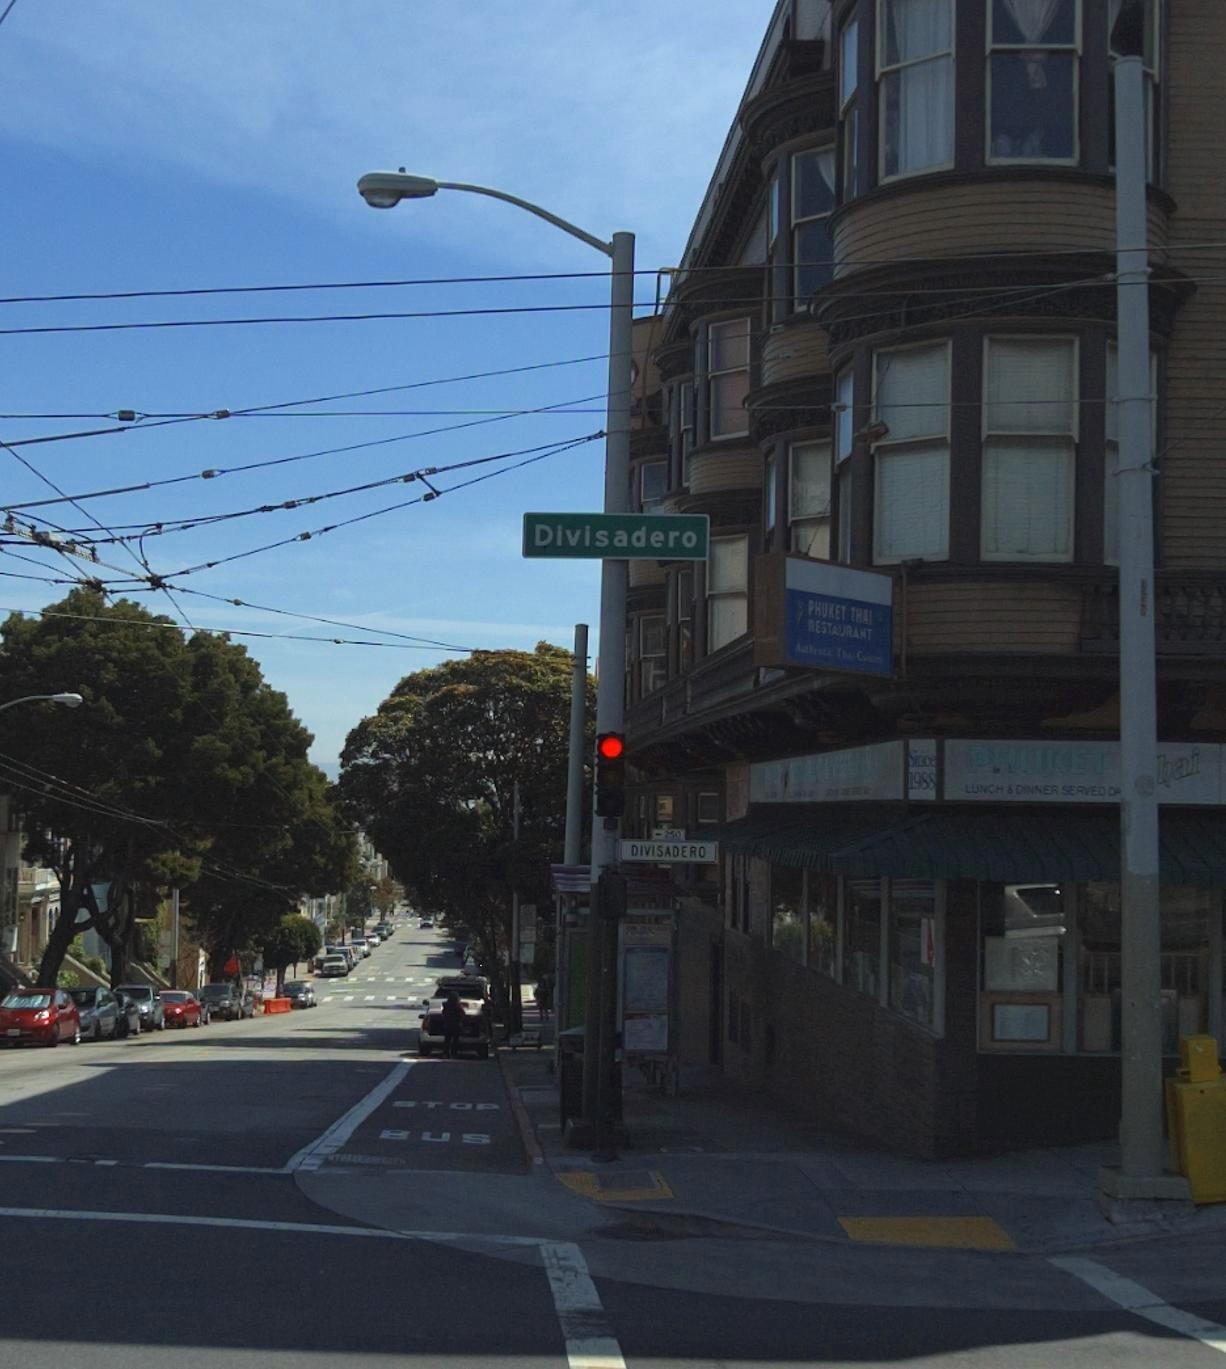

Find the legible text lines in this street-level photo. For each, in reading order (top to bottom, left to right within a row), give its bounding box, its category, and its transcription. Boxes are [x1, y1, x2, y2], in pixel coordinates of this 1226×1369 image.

[533, 523, 699, 549] StreetName: Divisadero
[808, 596, 874, 625] None: PHUKET THAI
[807, 617, 873, 642] None: RESTAURANT
[907, 748, 937, 769] None: Since
[968, 745, 1110, 779] BusinessName: PHUKET
[1155, 745, 1204, 791] BusinessName: hai
[907, 770, 937, 792] None: 1988
[964, 782, 1107, 798] None: LUNCH & DINNER SERVED
[654, 829, 682, 838] None: <-250
[630, 843, 705, 857] StreetName: DIVISADERO
[391, 1097, 500, 1113] None: STOP
[376, 1125, 492, 1147] None: BUS